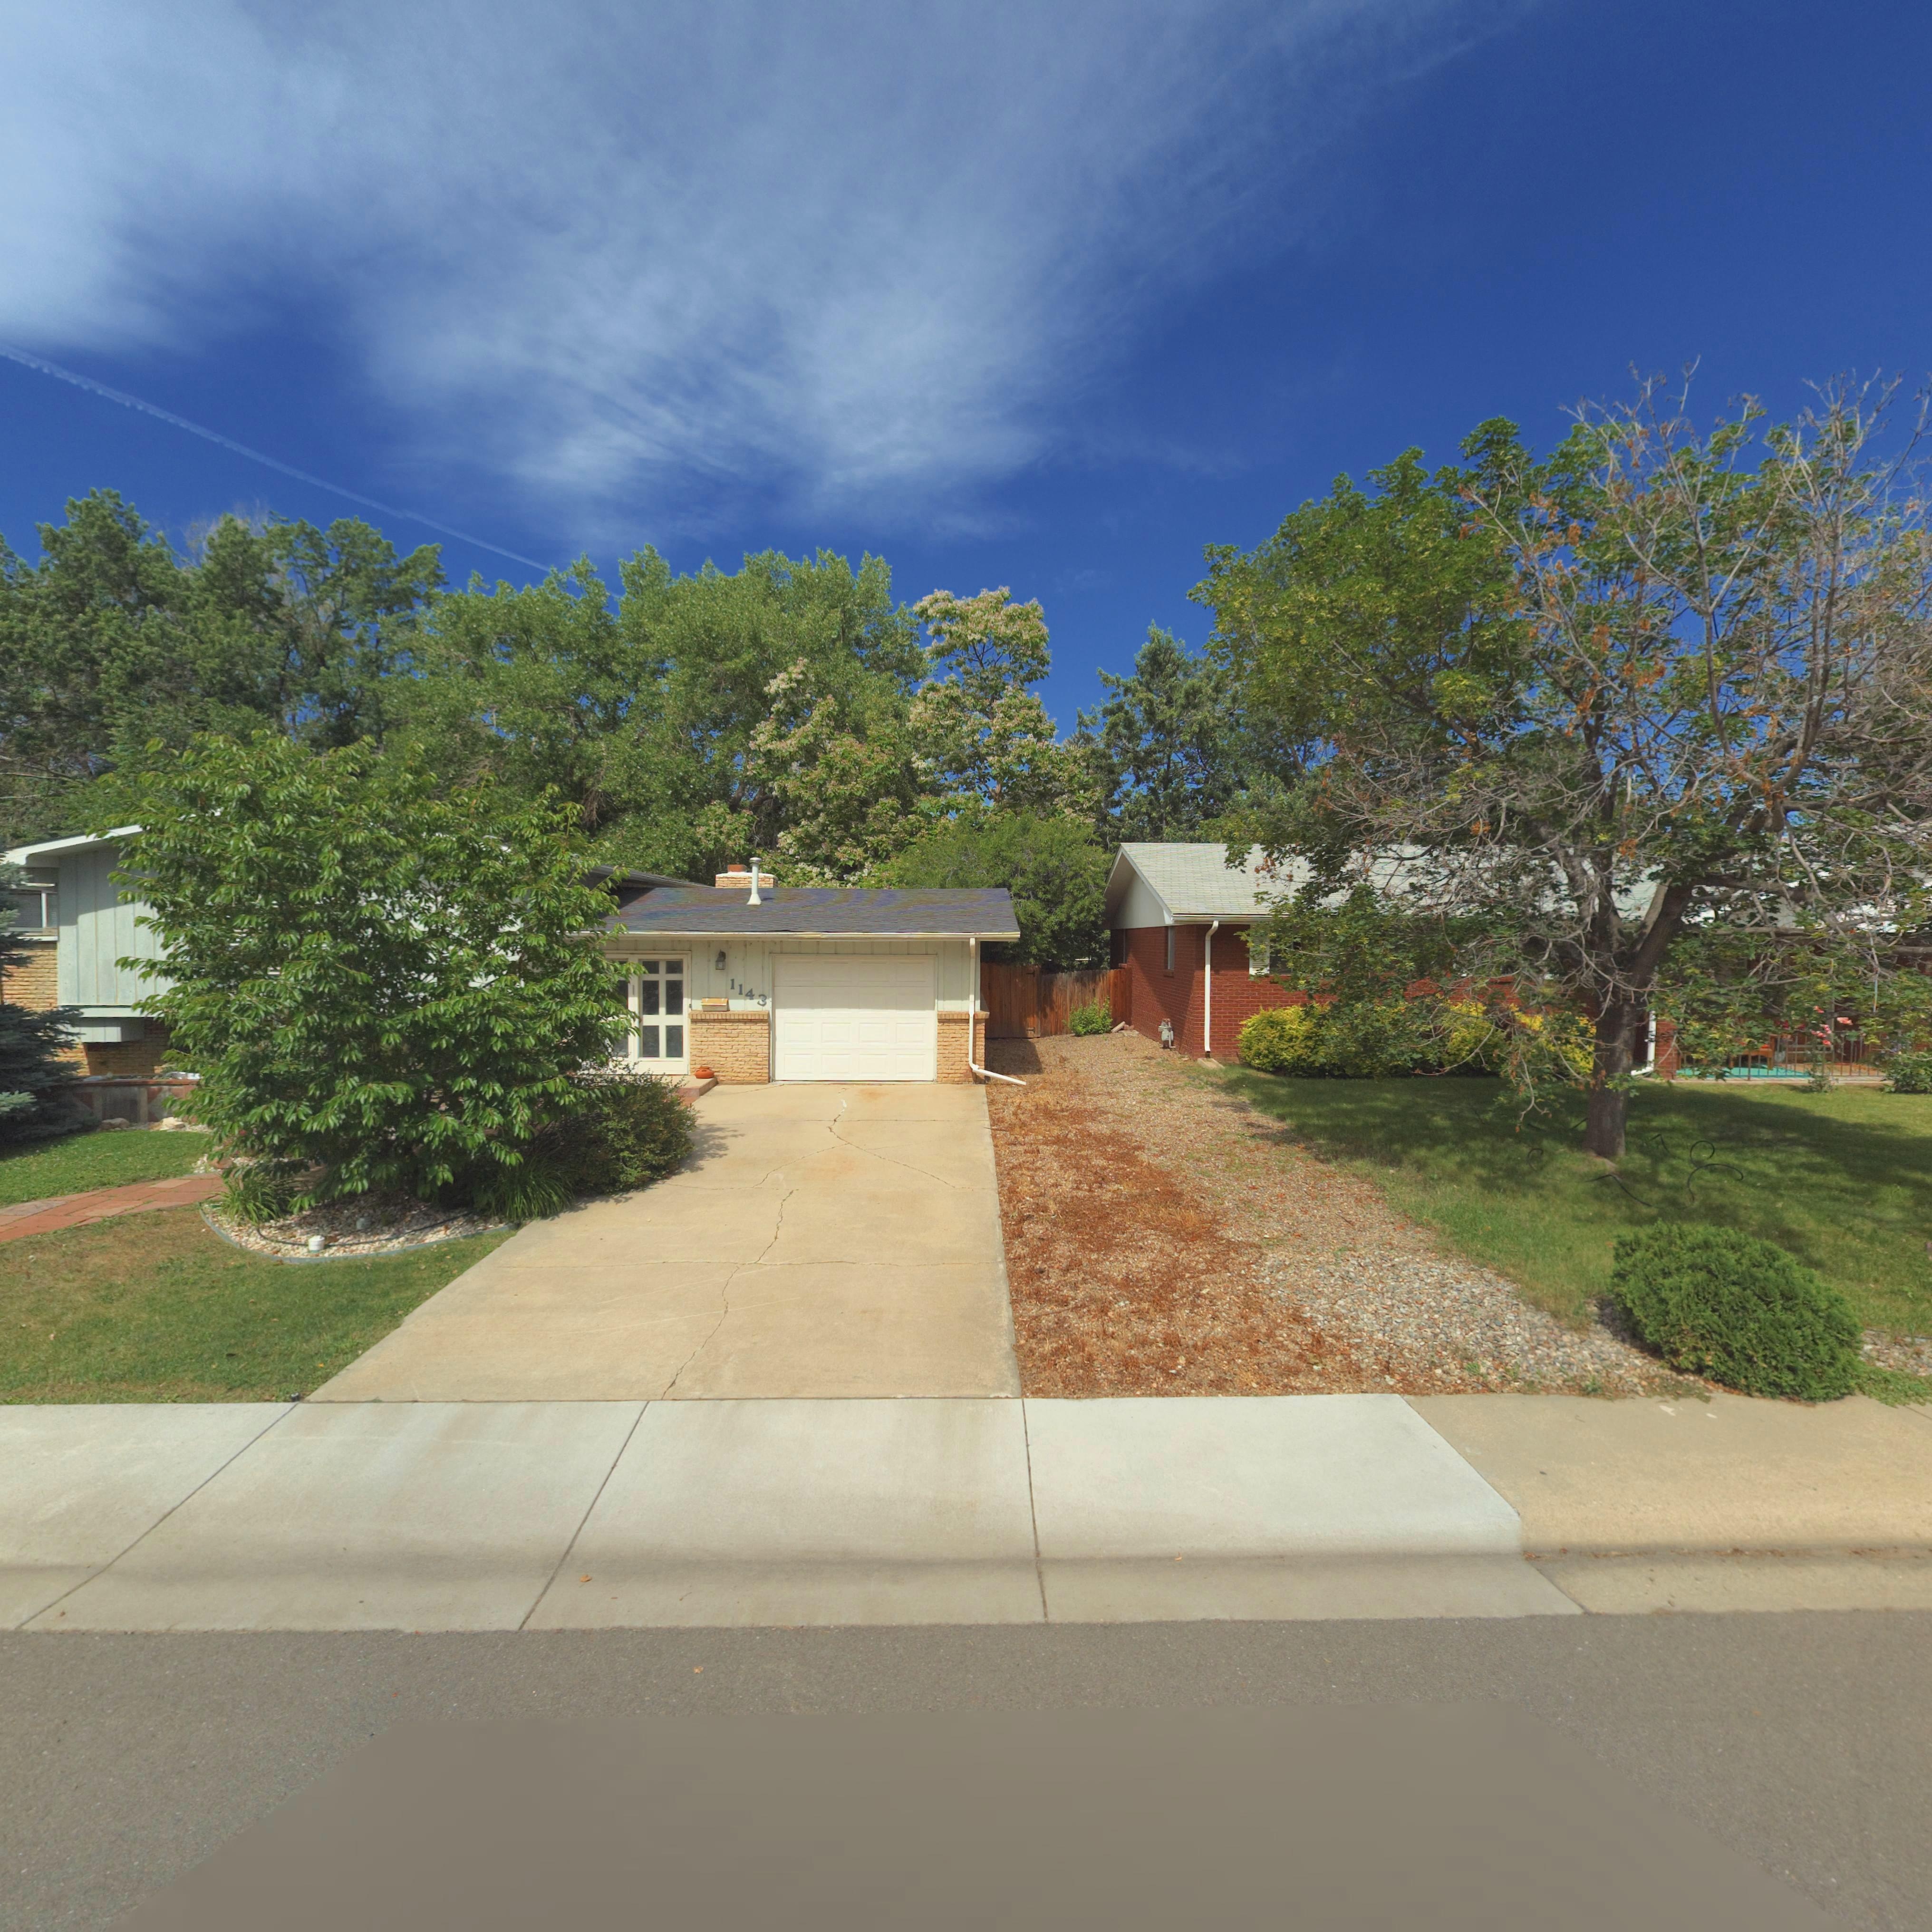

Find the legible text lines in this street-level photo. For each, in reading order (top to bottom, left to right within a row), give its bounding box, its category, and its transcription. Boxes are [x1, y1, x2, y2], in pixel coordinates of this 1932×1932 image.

[729, 977, 767, 1007] StreetNumber: 1143